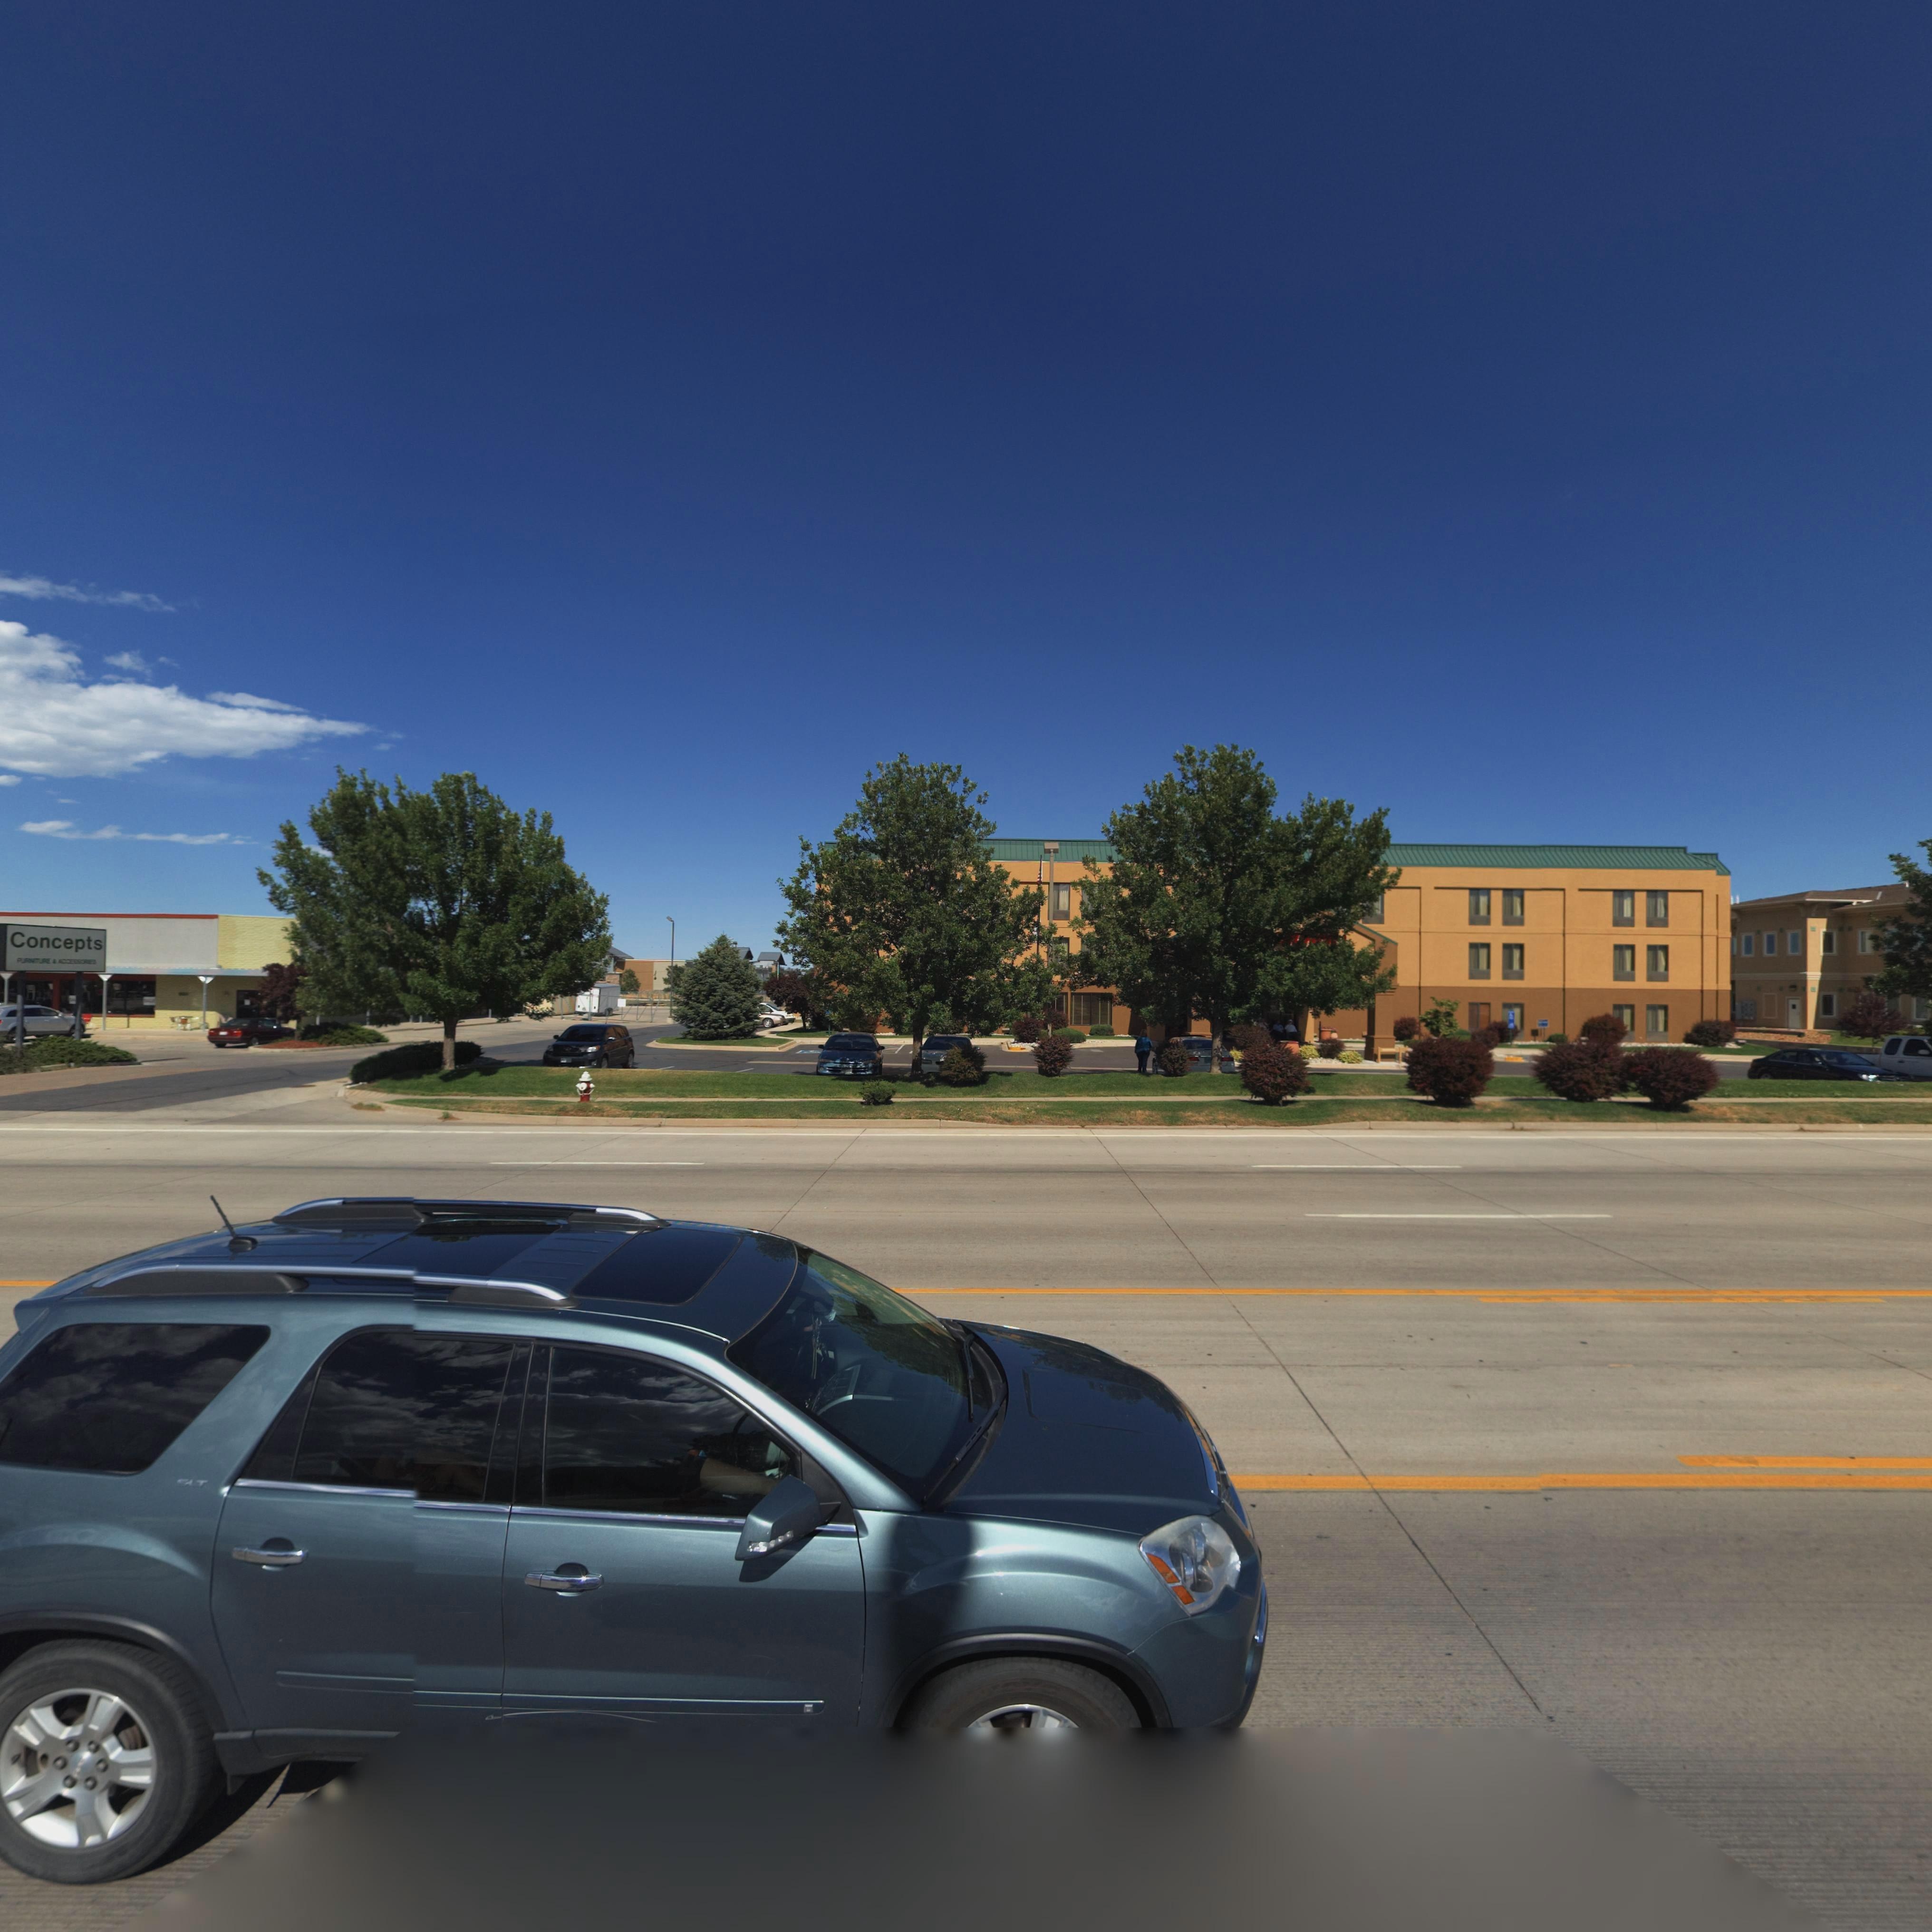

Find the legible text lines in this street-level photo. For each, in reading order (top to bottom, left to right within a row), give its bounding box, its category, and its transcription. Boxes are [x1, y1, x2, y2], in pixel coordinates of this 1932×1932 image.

[9, 931, 104, 953] BusinessName: Concepts
[16, 957, 97, 965] BusinessName: FURN*TURE * ACCESSOR*ES
[178, 992, 189, 996] StreetNumber: **0